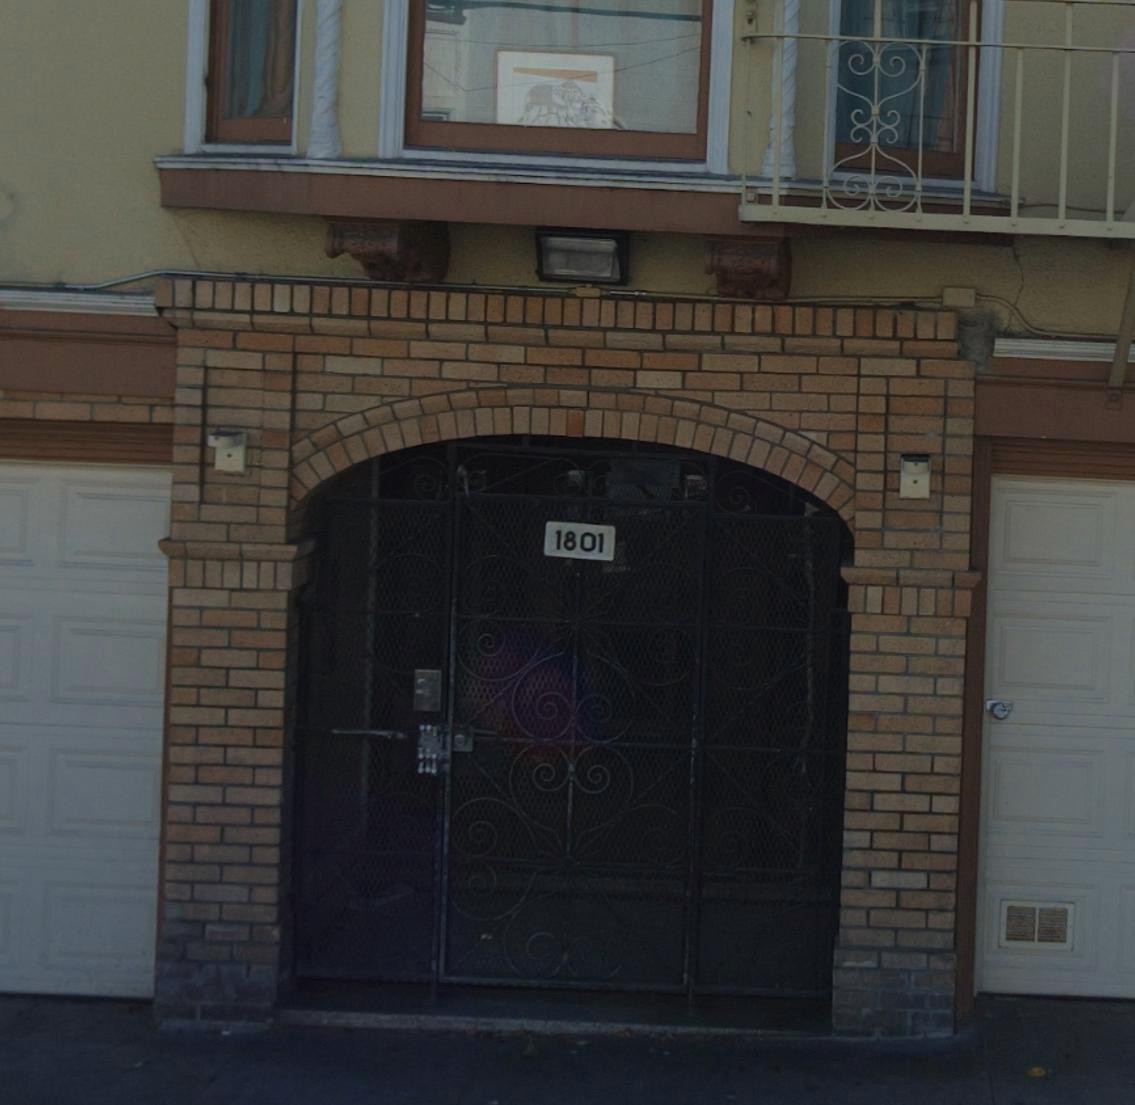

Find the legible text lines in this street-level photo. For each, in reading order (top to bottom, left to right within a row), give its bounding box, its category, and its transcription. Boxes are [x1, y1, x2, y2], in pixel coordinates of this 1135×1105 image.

[553, 527, 606, 556] StreetNumber: 1801